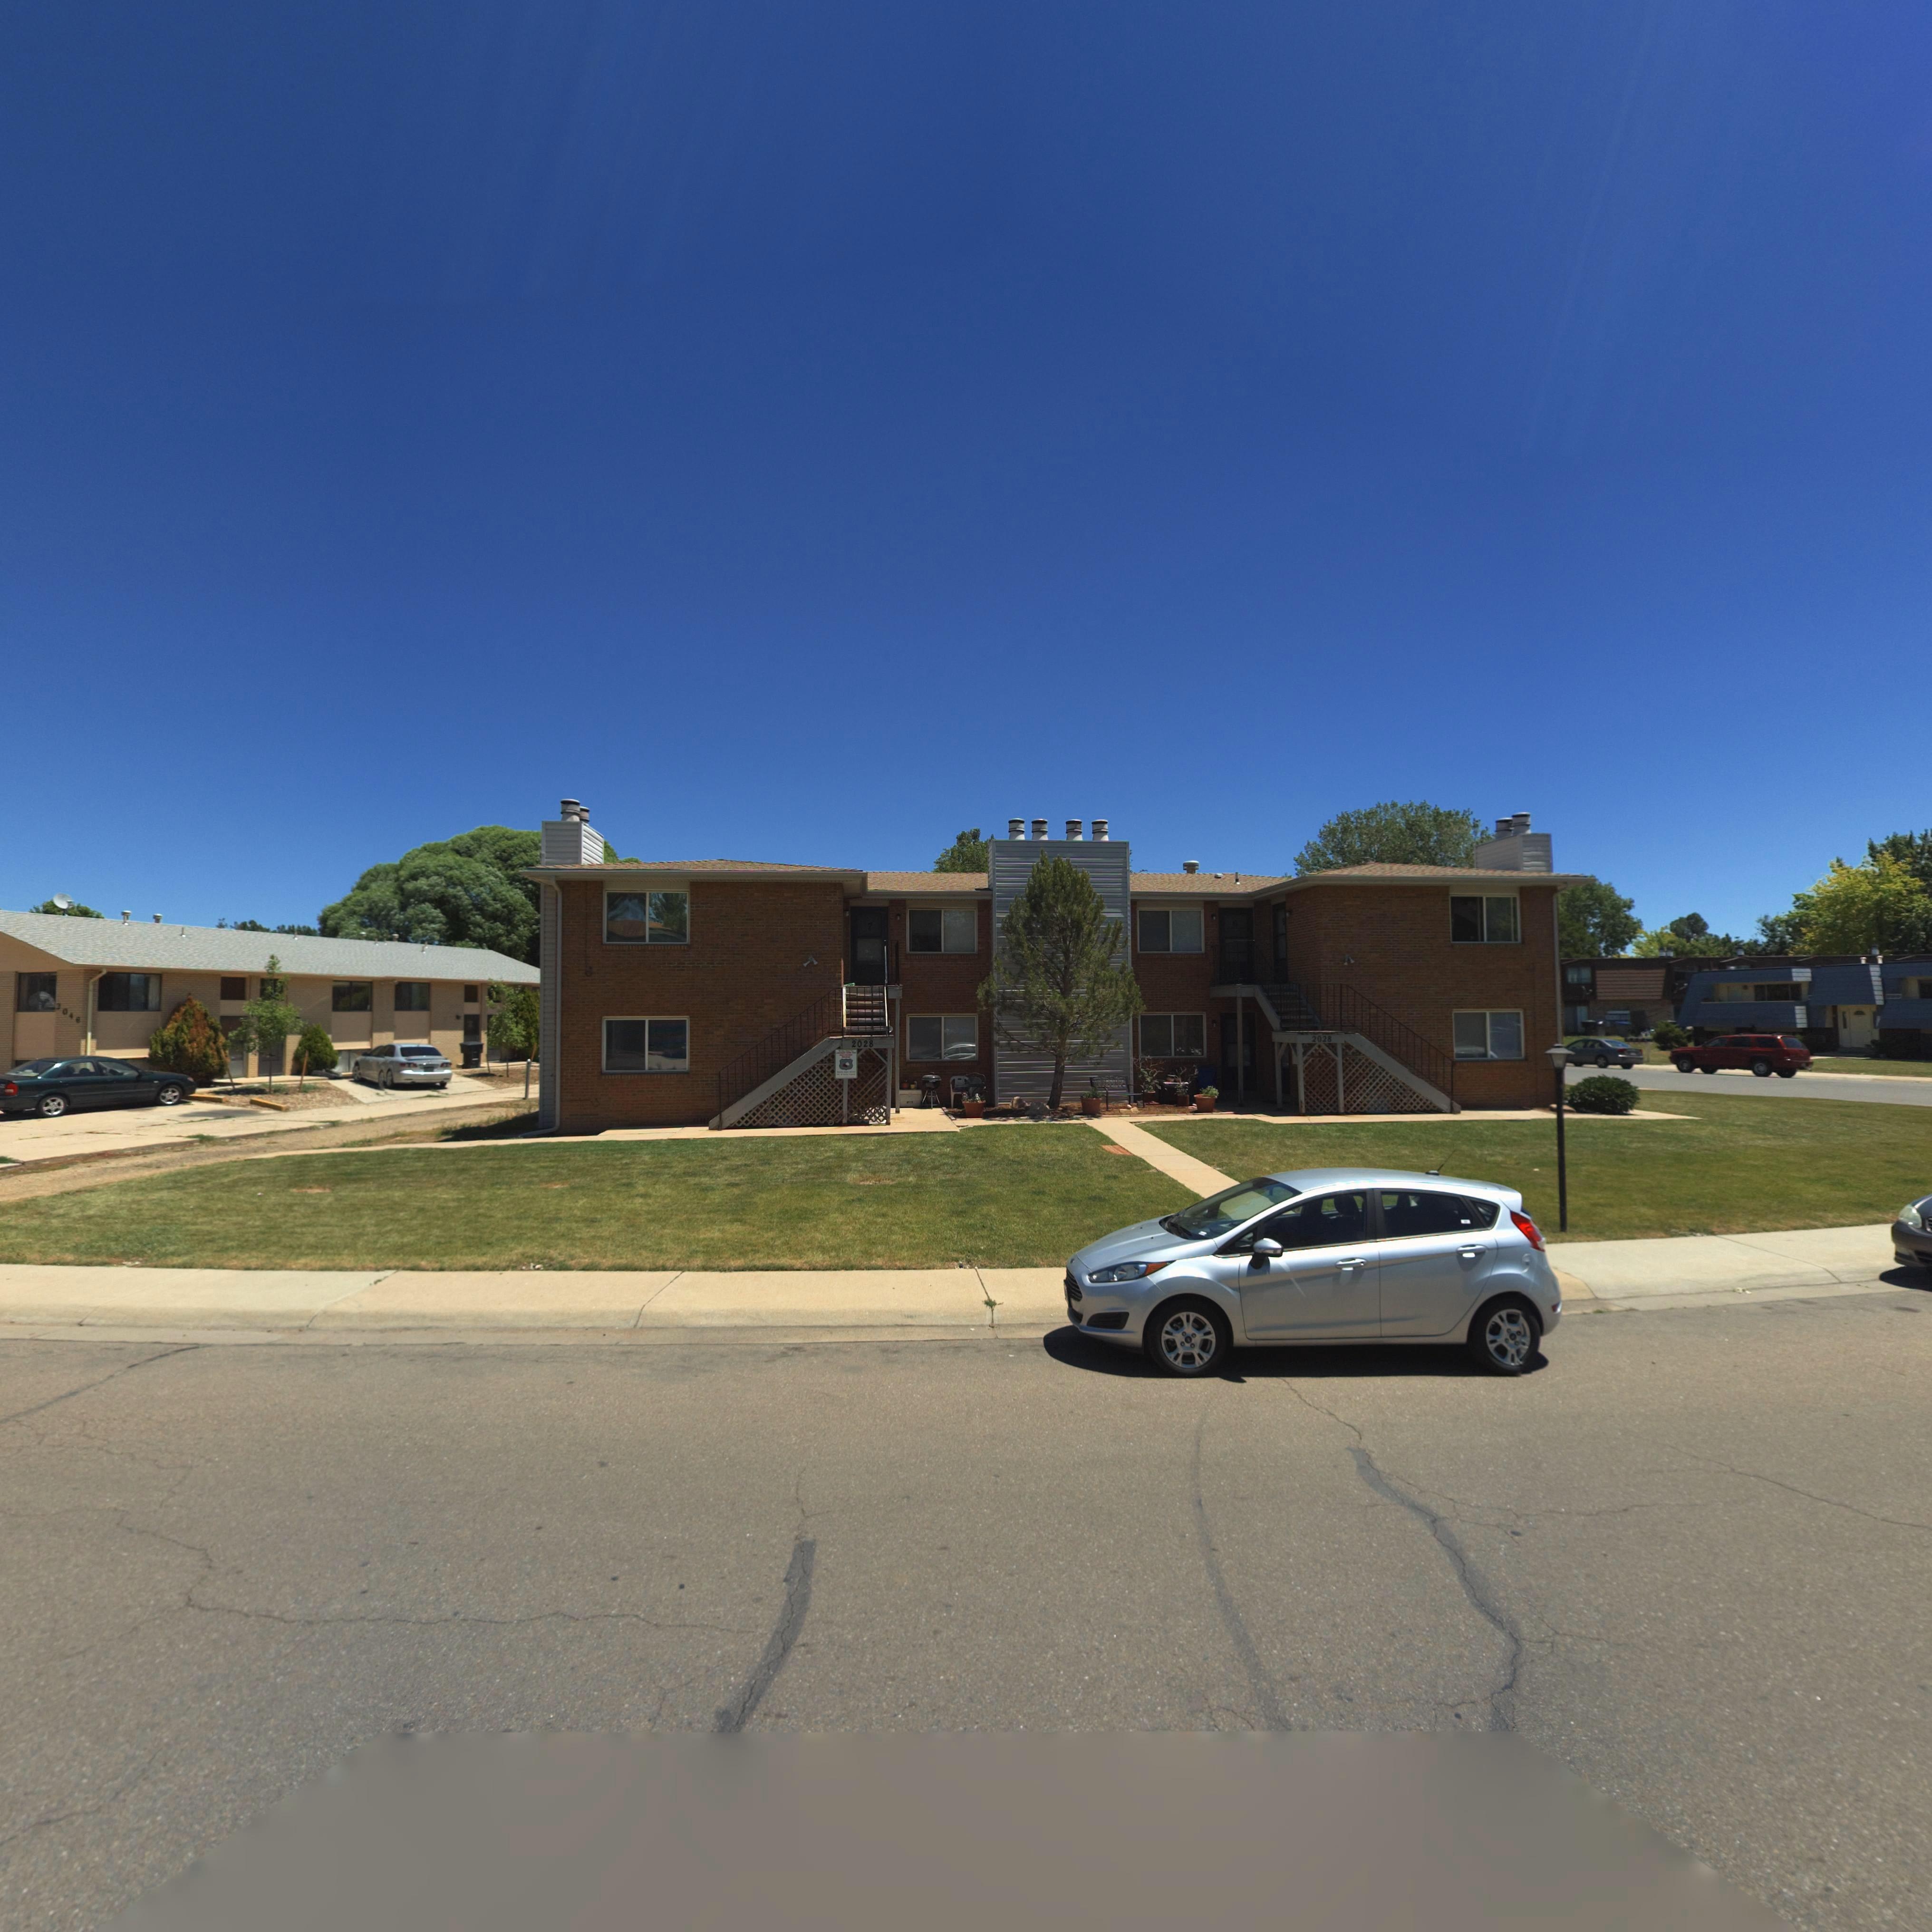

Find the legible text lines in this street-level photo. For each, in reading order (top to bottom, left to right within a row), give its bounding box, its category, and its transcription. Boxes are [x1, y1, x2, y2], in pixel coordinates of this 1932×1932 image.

[55, 1002, 80, 1023] StreetNumber: 3048
[1312, 1035, 1332, 1042] StreetNumber: 2028
[851, 1040, 873, 1047] StreetNumber: 2028